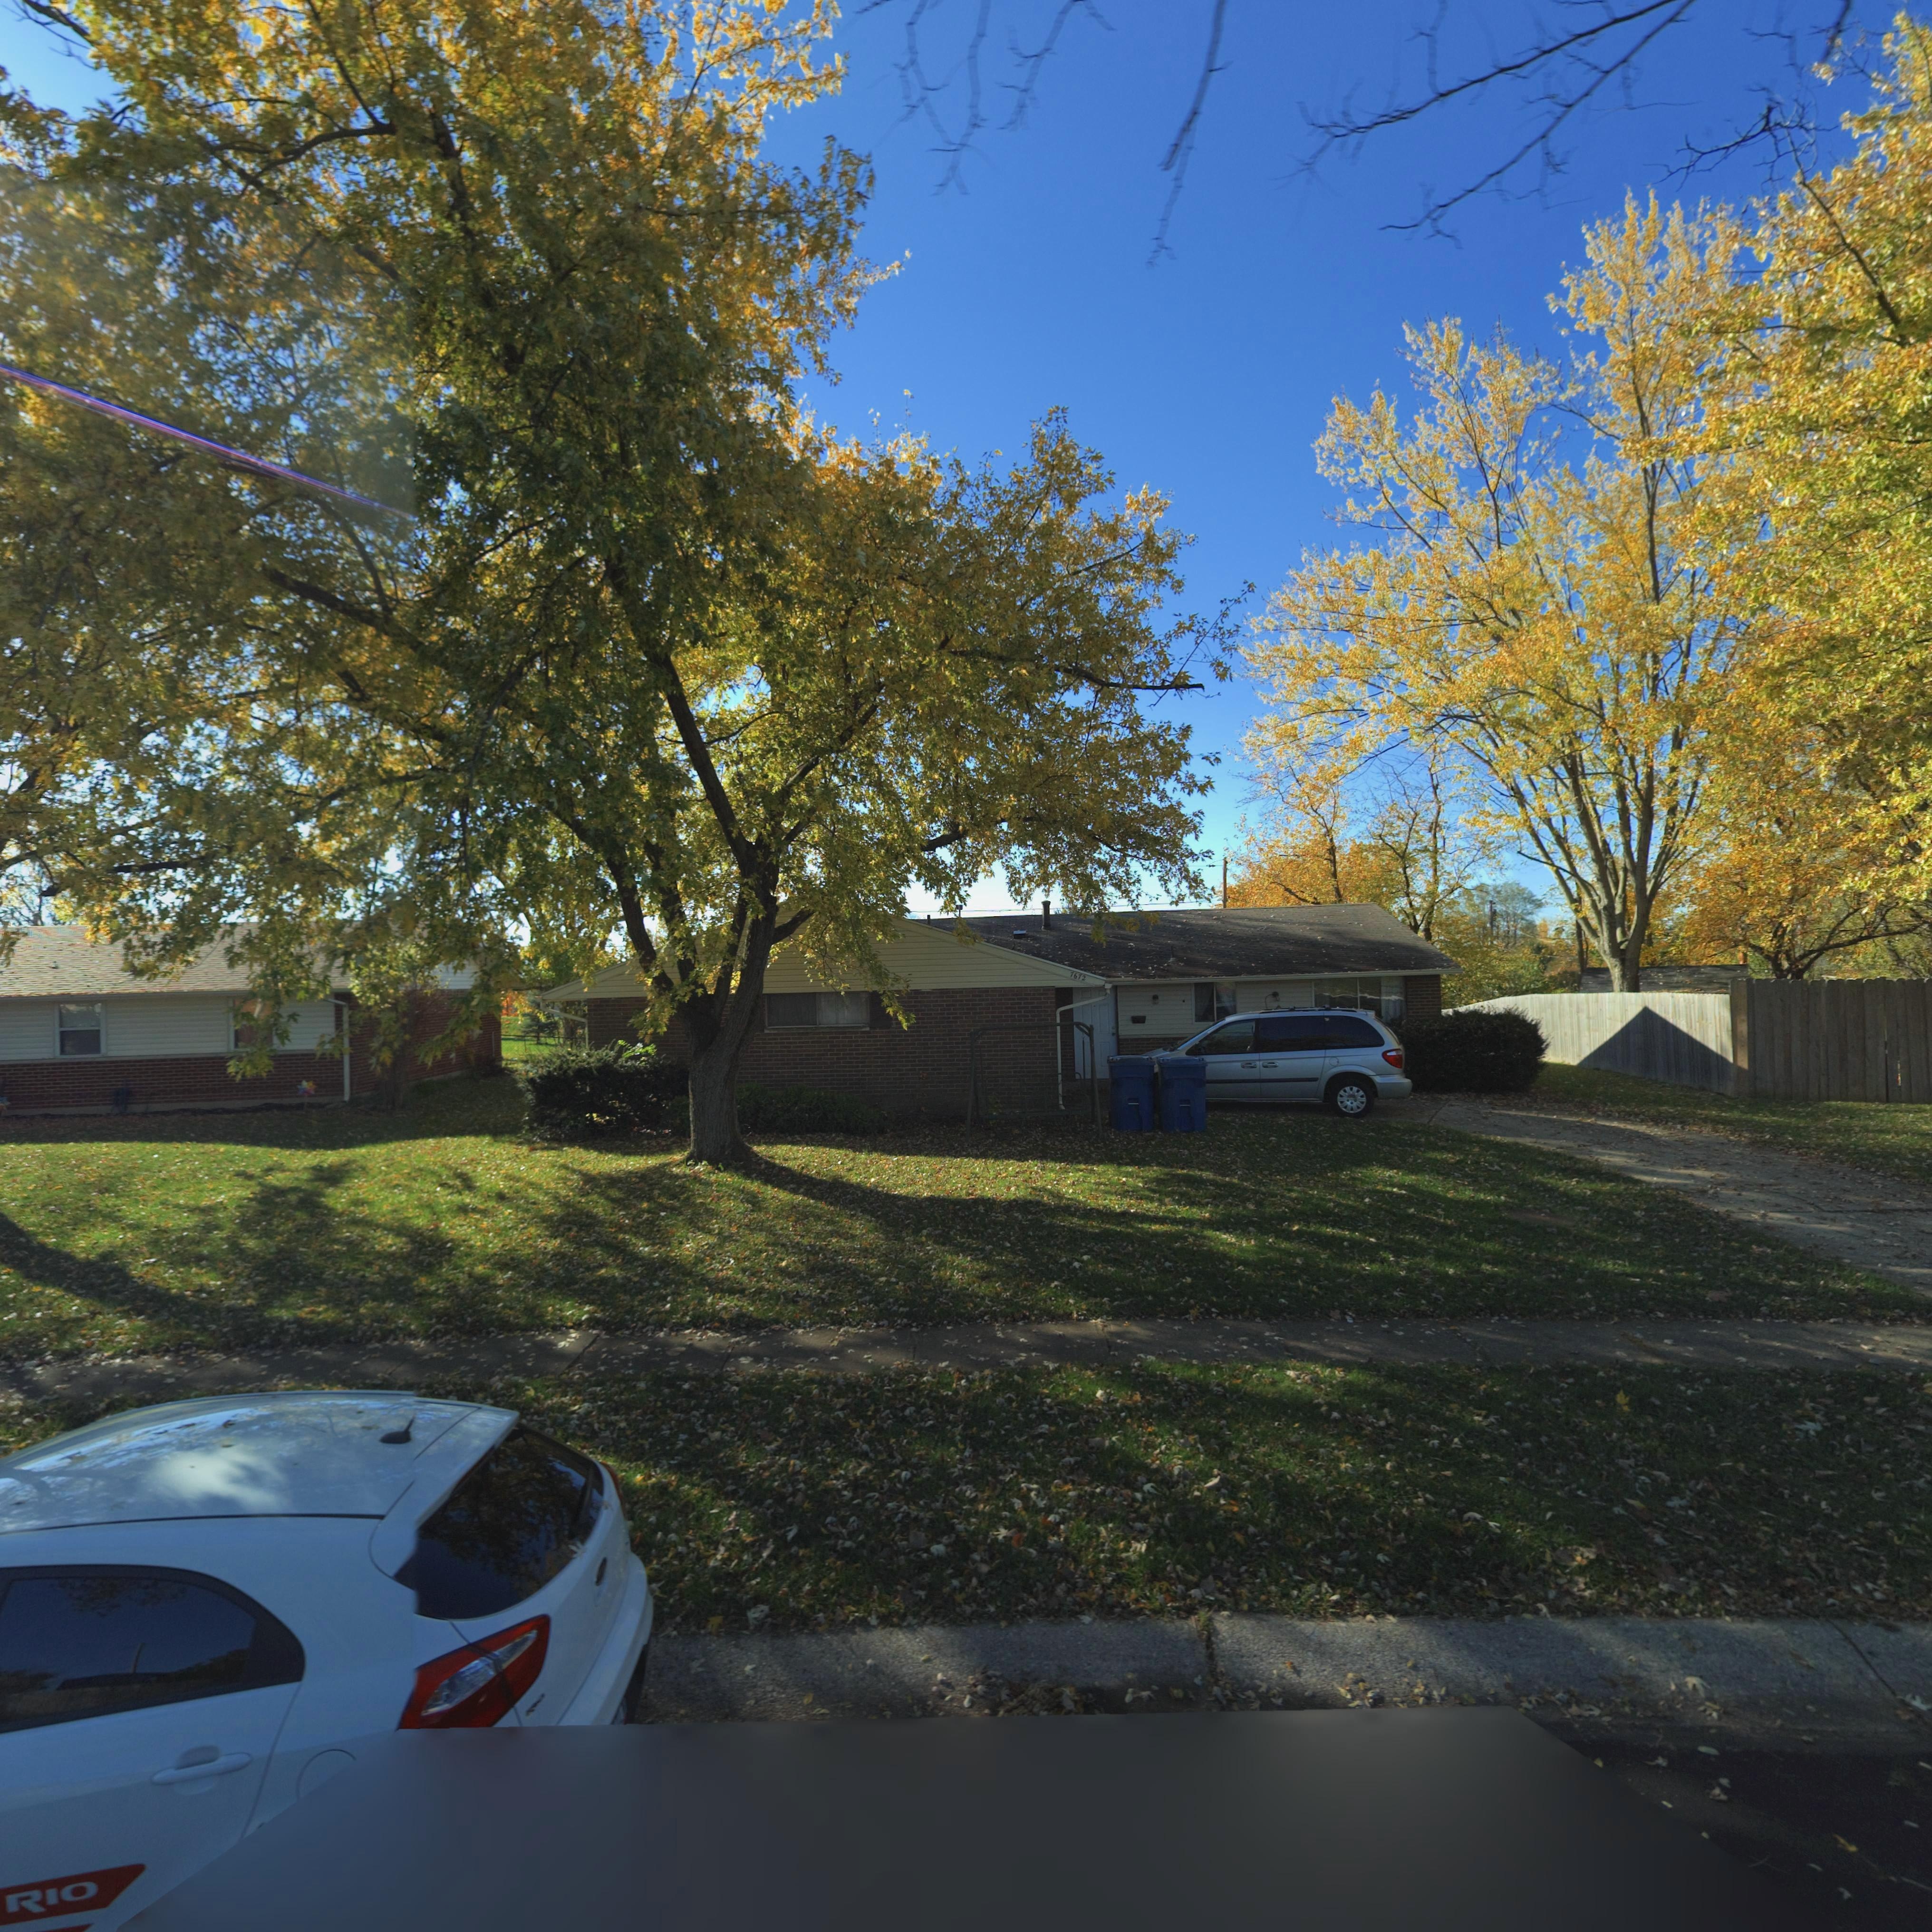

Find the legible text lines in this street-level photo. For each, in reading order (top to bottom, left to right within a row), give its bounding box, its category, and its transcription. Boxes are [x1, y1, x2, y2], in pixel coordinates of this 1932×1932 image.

[1069, 971, 1087, 982] StreetNumber: 7672